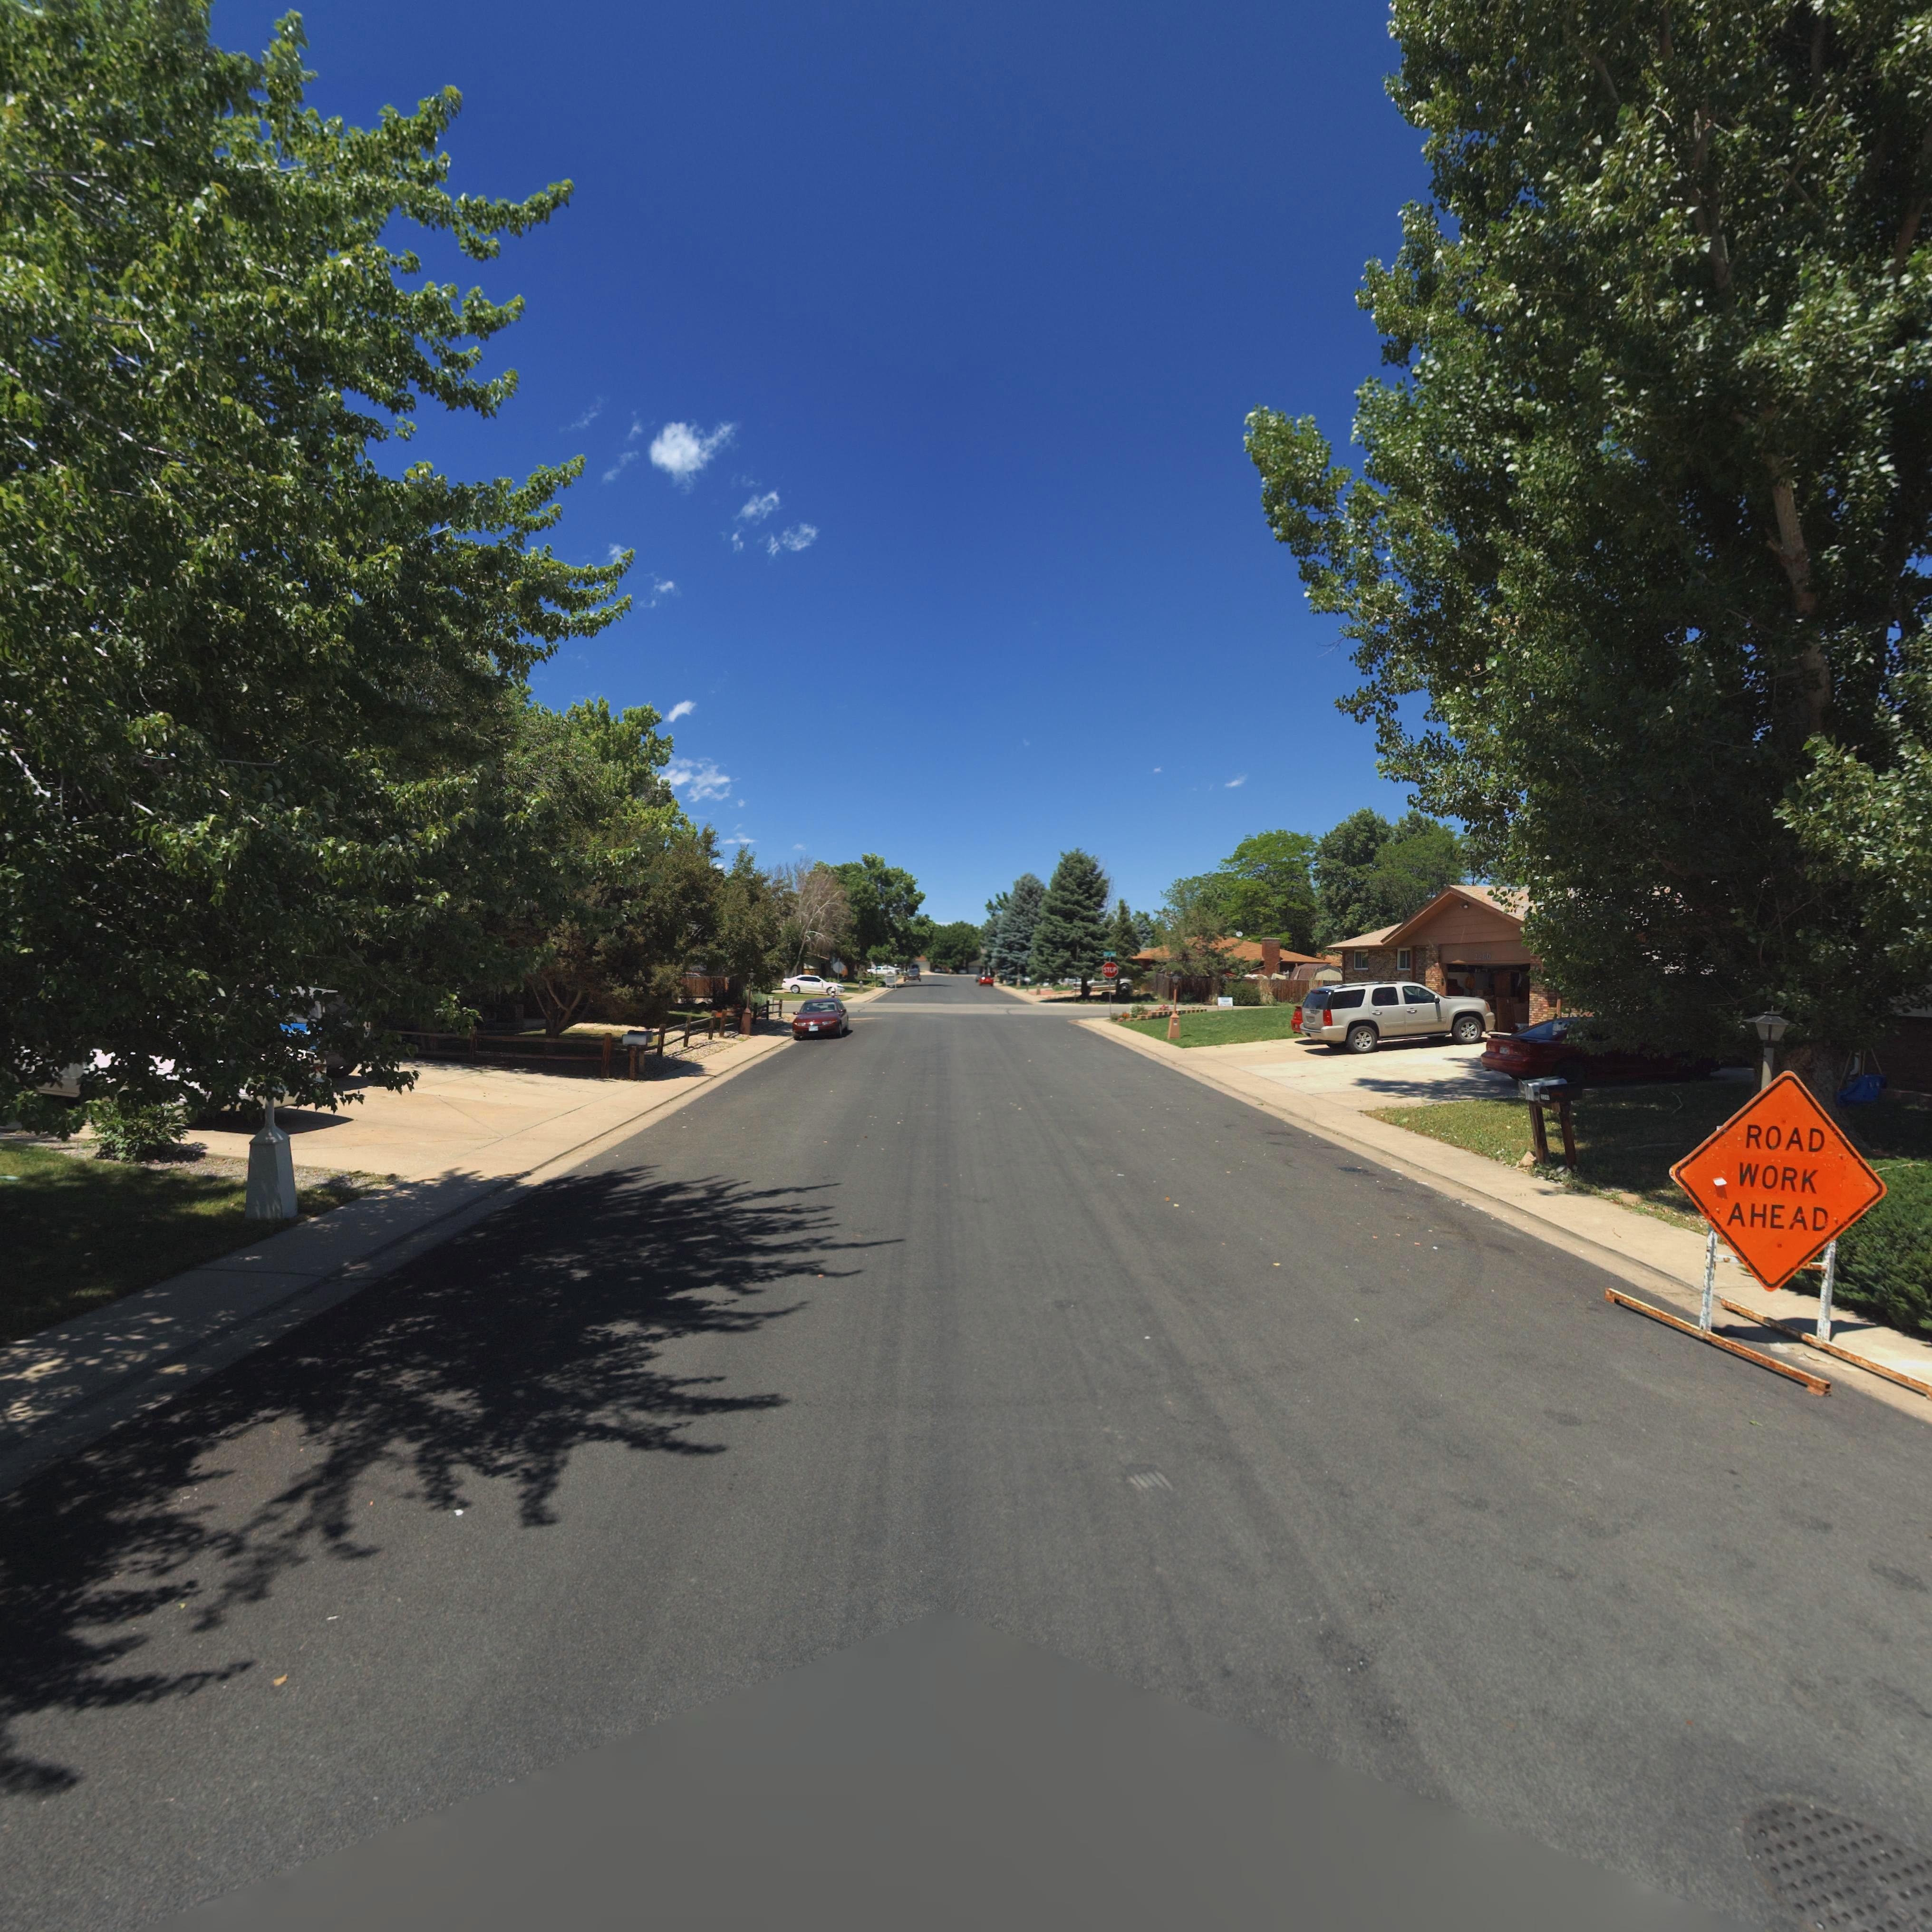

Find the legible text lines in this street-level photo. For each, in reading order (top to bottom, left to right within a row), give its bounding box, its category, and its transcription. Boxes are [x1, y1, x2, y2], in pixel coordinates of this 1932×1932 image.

[1473, 953, 1491, 960] StreetNumber: 2260
[1541, 1094, 1549, 1099] StreetNumber: 22*0